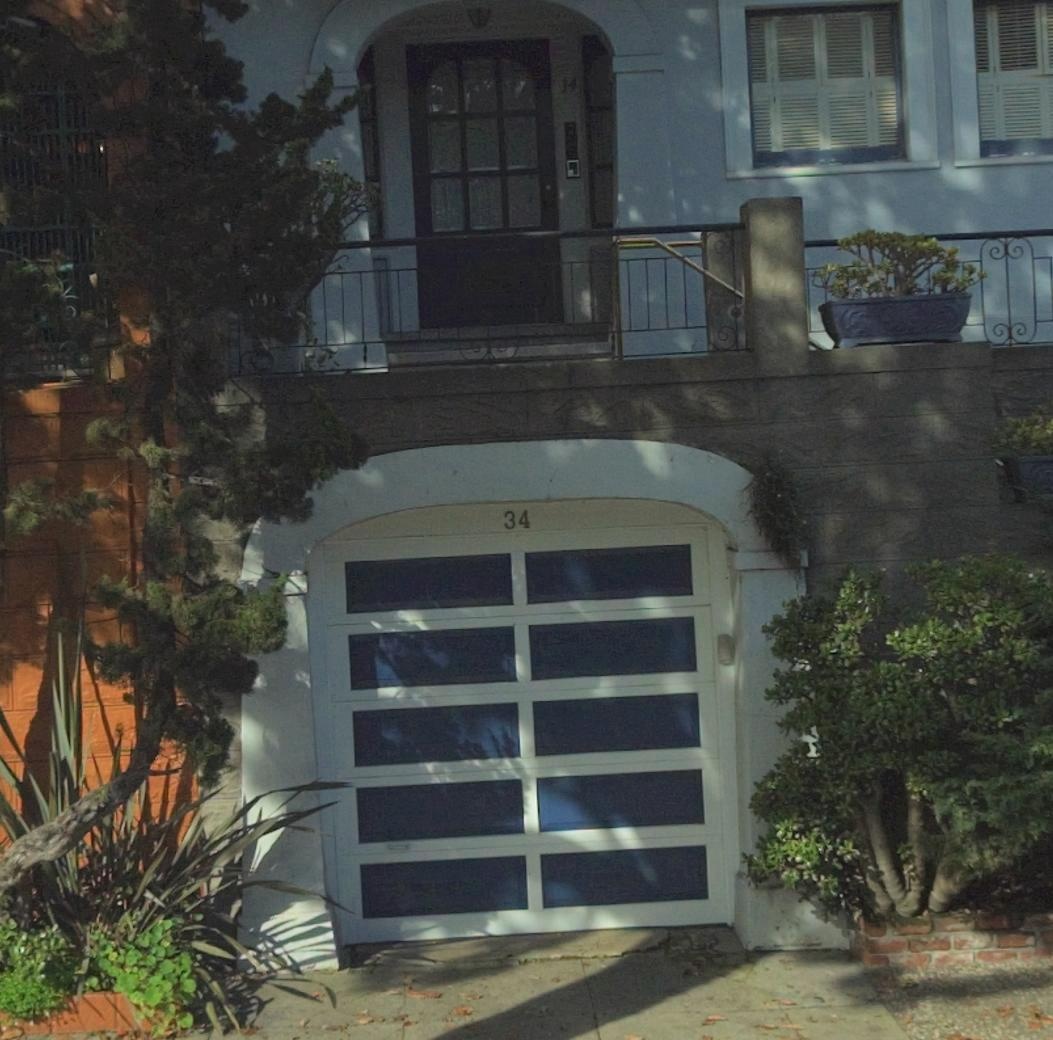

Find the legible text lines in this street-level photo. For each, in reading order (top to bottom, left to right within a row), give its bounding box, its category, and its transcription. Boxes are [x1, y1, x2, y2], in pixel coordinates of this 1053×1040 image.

[558, 75, 579, 93] StreetNumber: 34
[502, 508, 532, 531] StreetNumber: 34